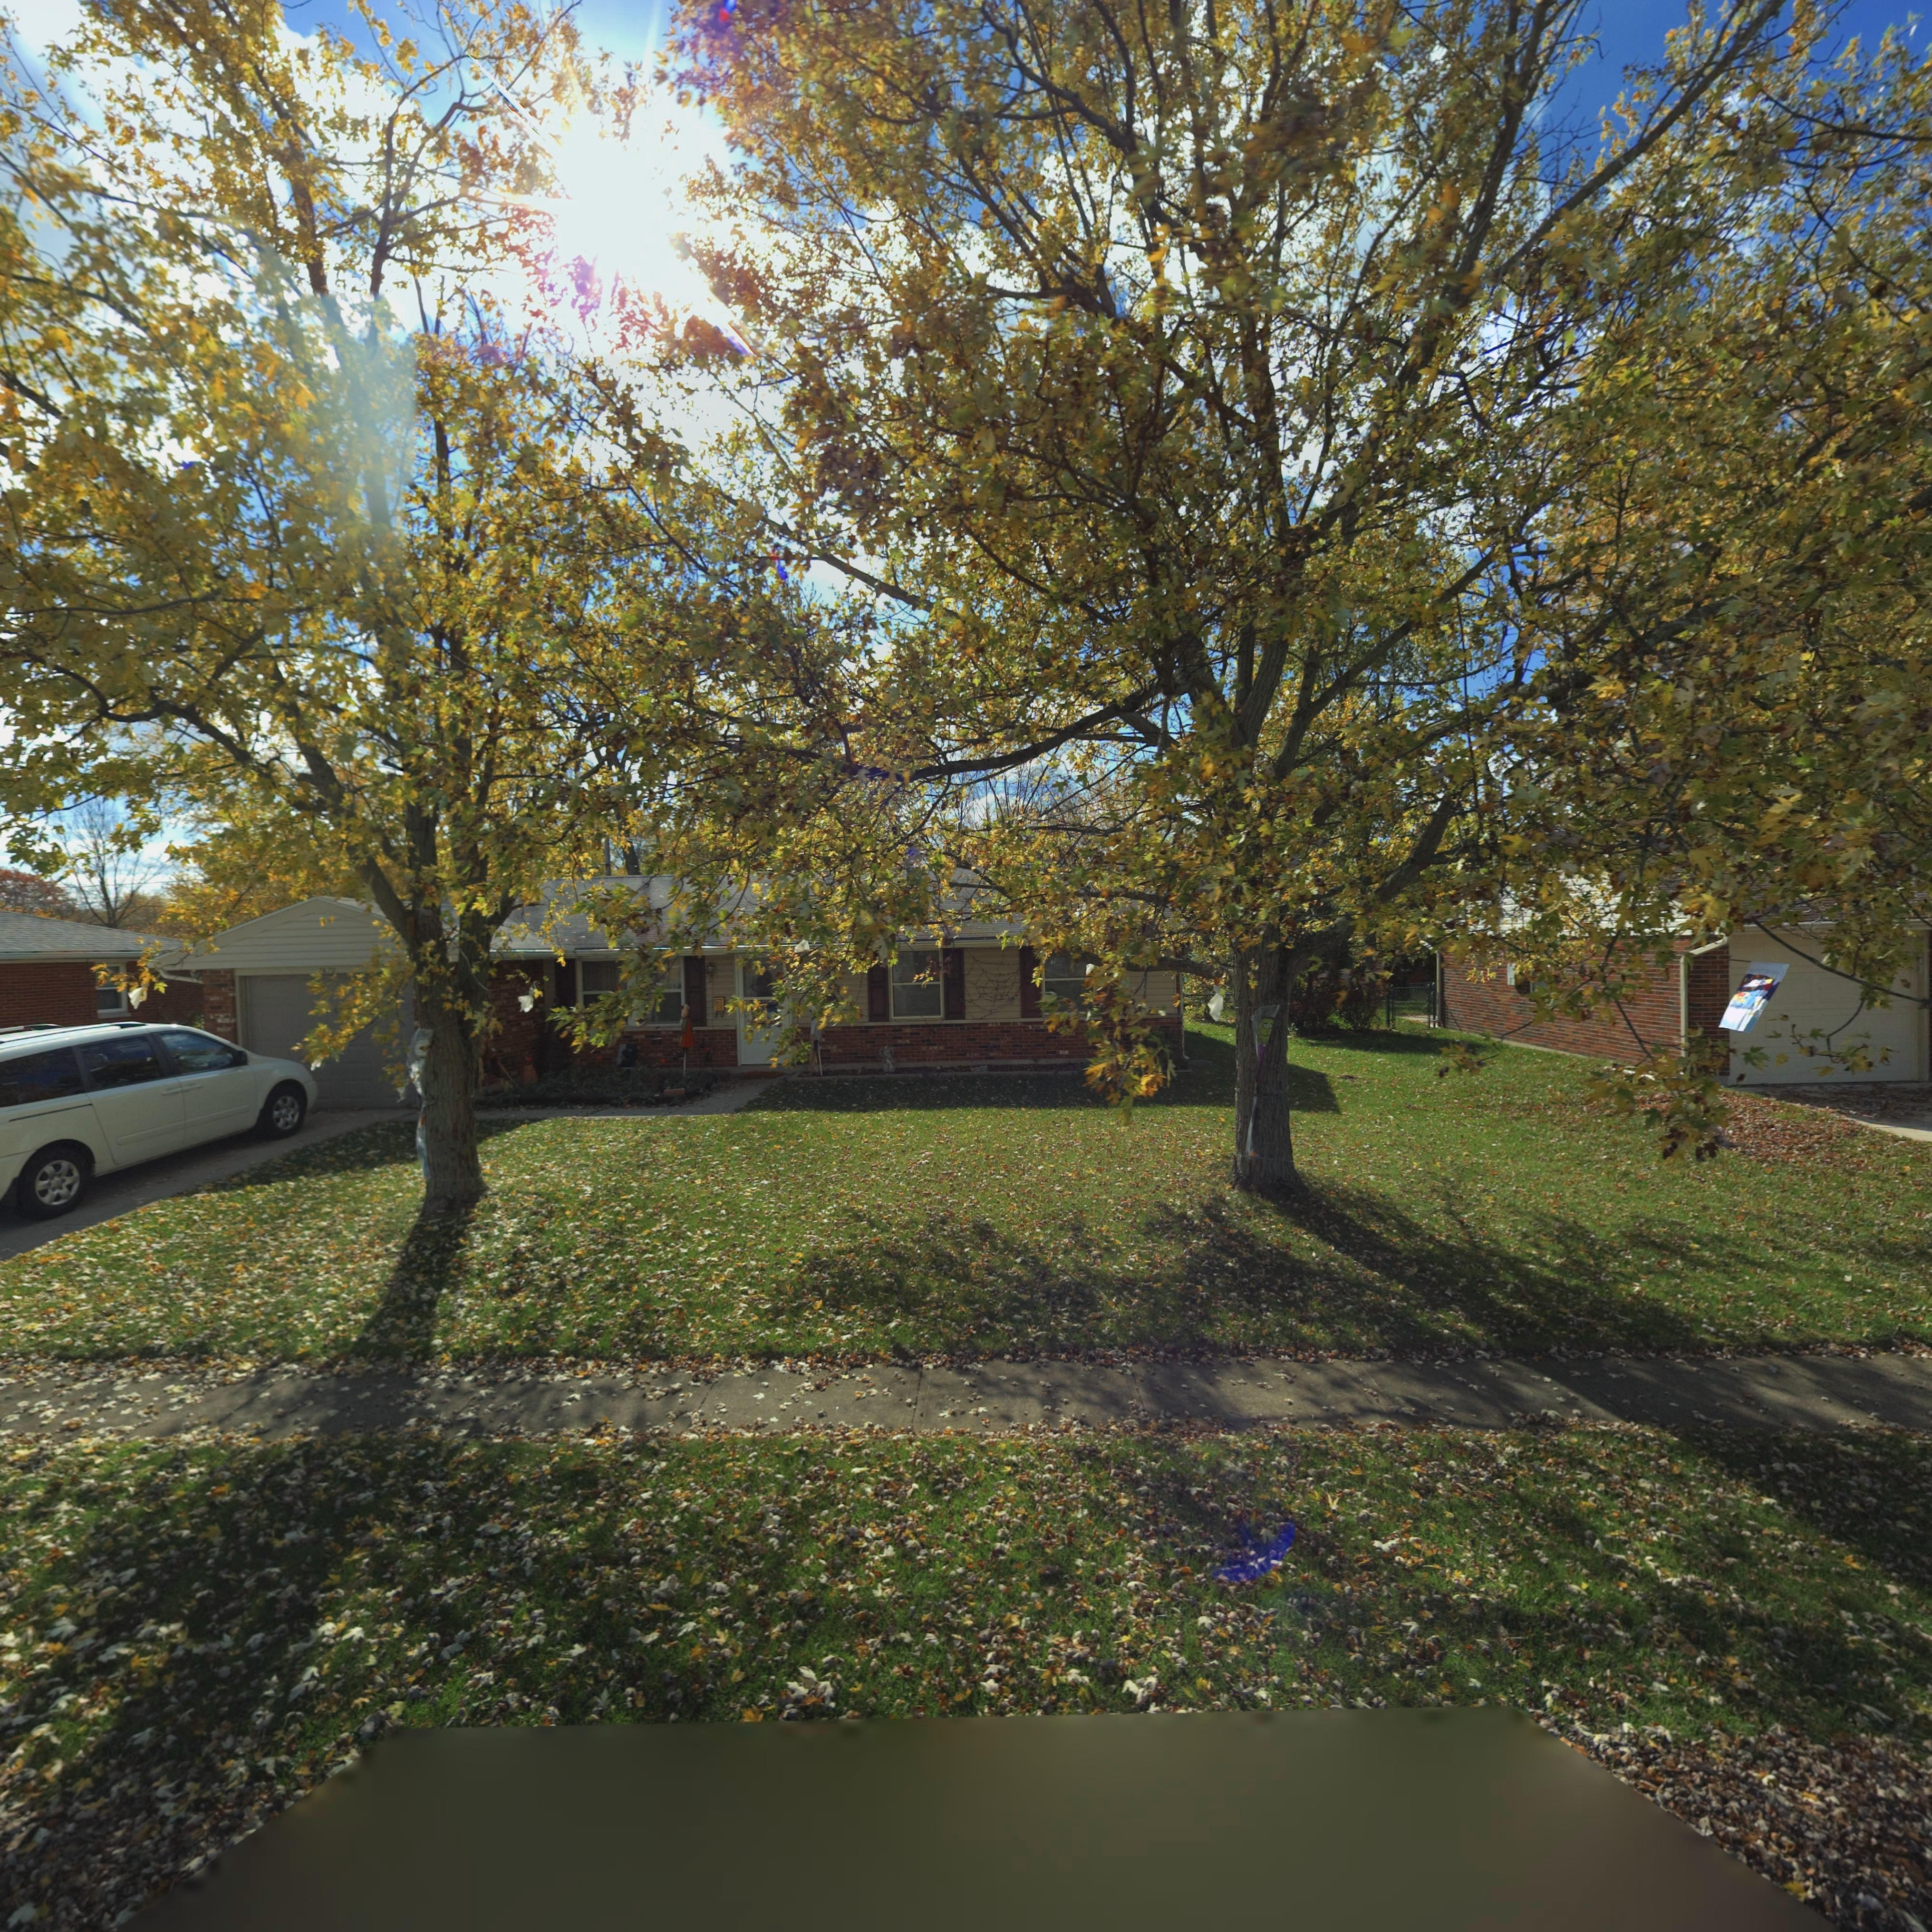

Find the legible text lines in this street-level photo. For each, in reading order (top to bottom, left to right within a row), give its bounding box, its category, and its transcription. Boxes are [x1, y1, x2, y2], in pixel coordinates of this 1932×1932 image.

[318, 967, 337, 974] StreetNumber: 7670